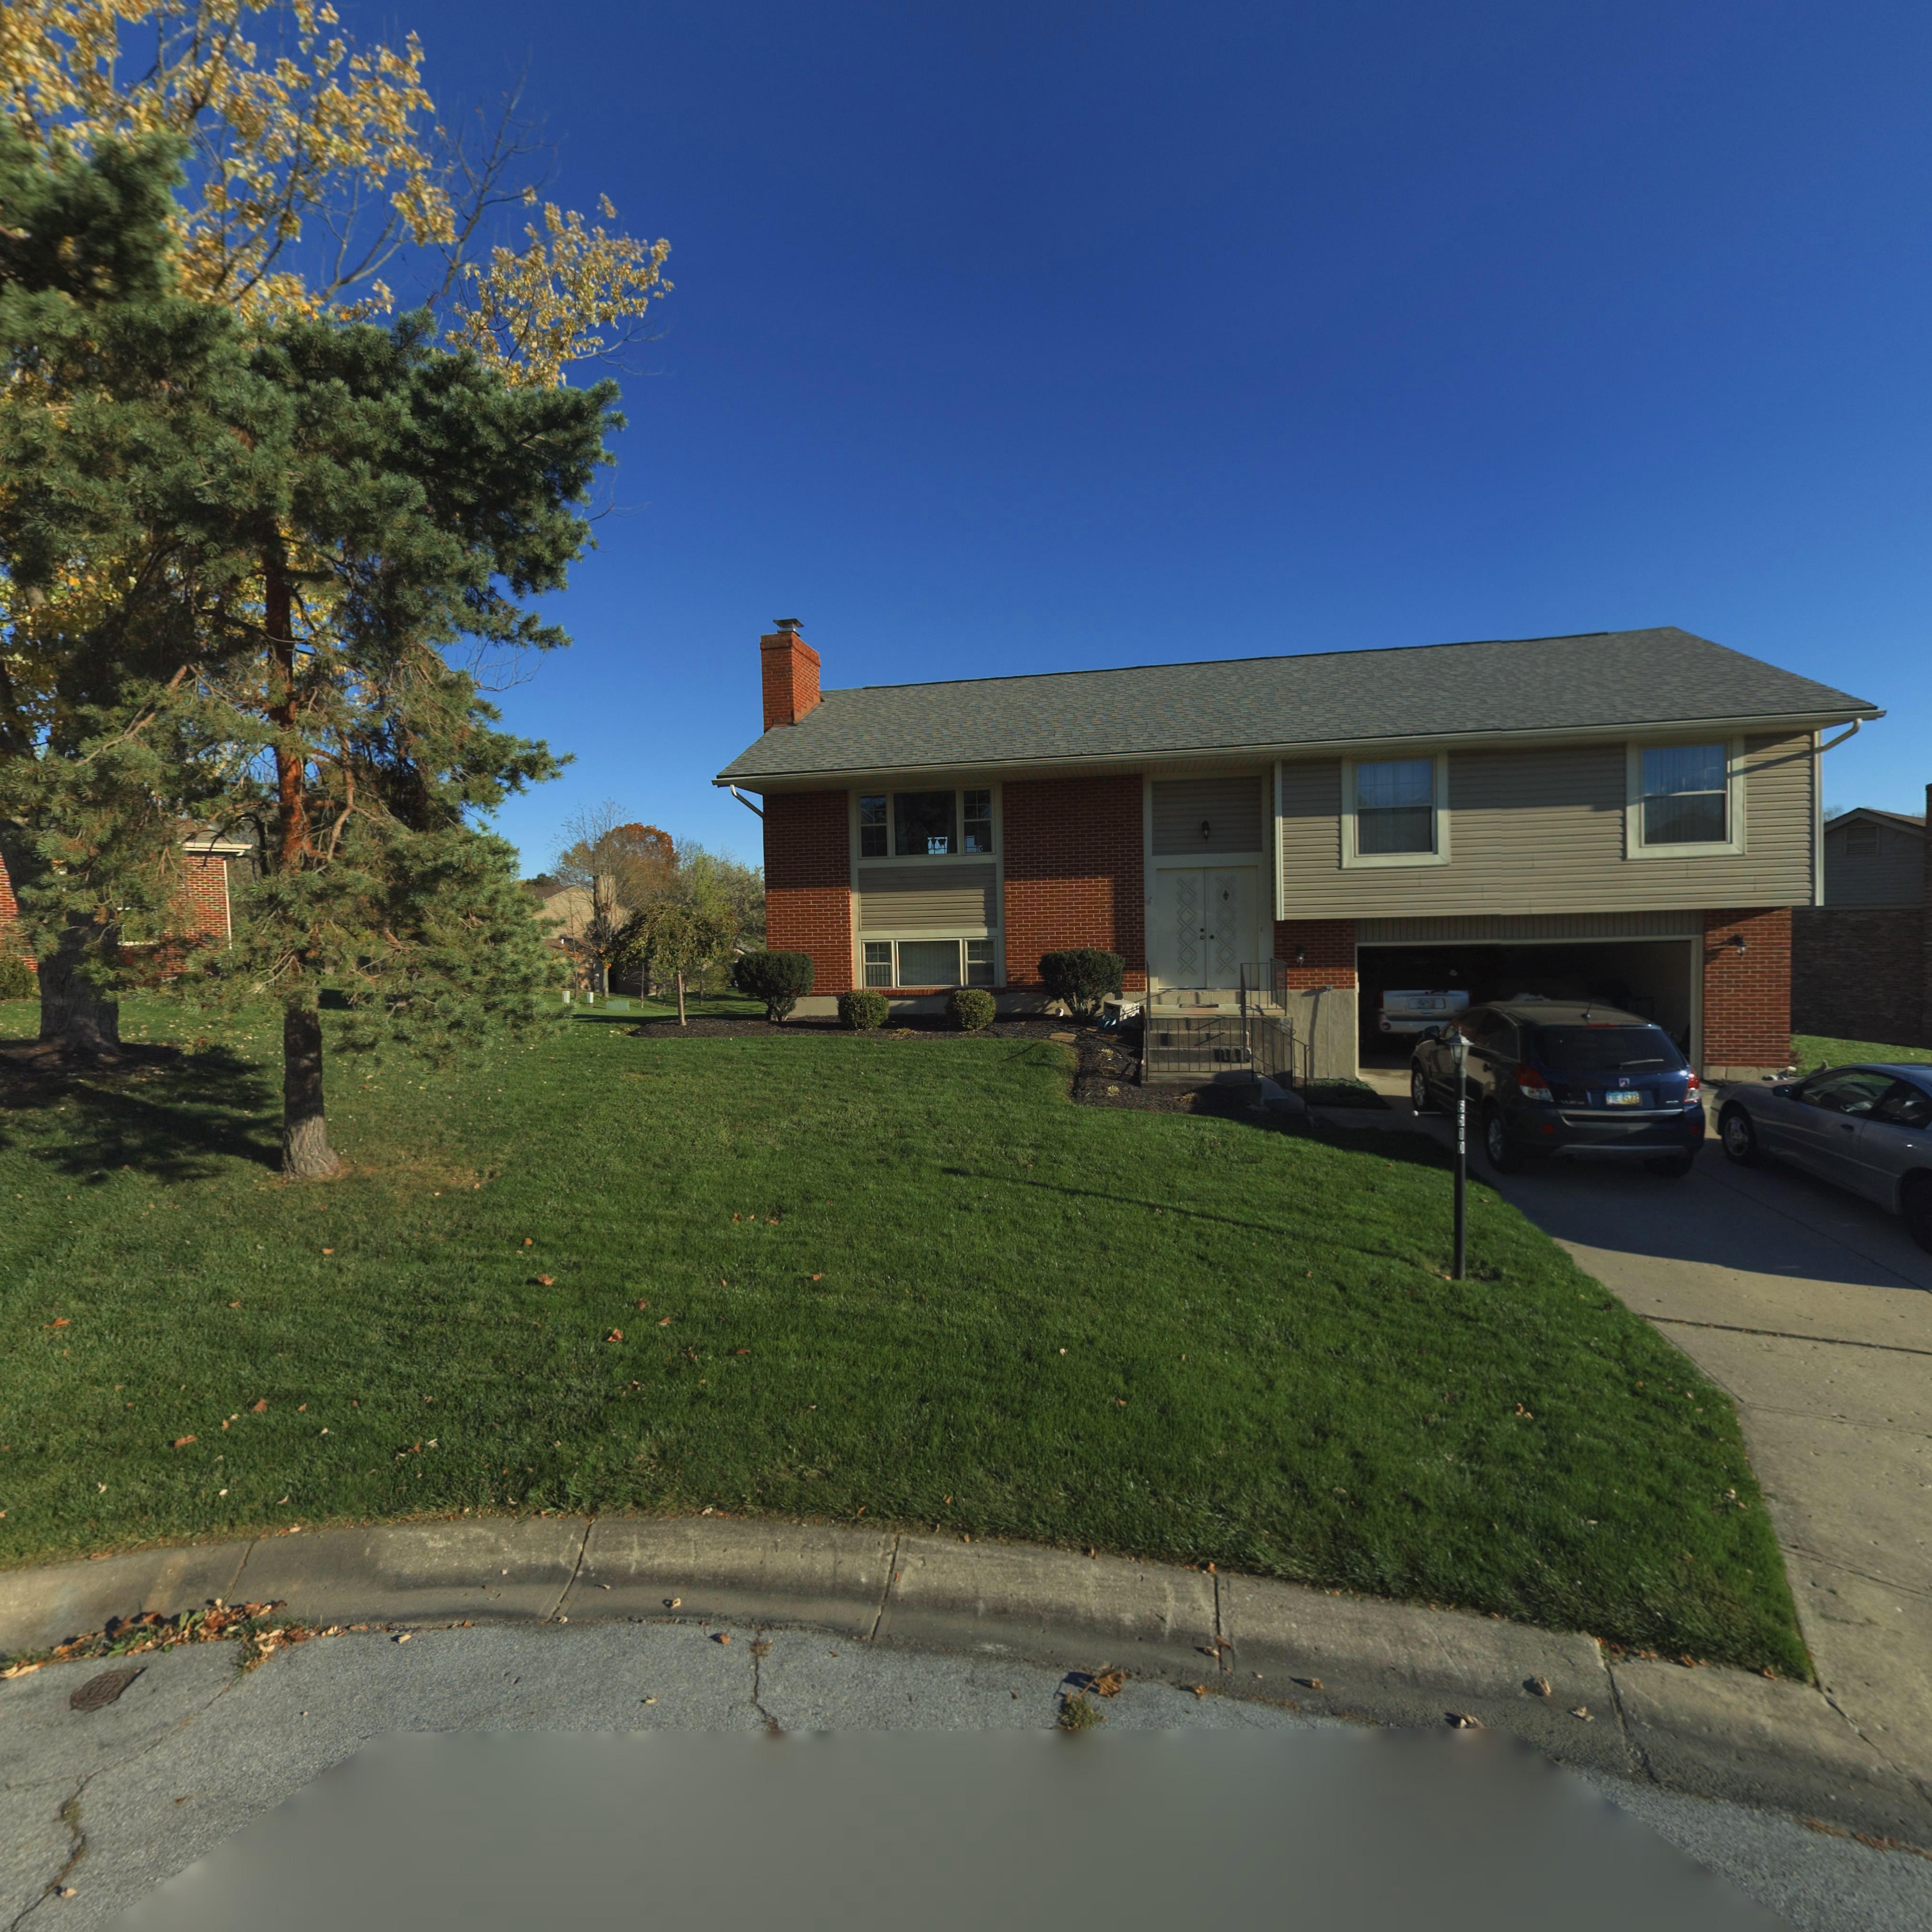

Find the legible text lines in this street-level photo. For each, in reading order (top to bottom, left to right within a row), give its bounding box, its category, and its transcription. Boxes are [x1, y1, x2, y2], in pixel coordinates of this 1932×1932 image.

[1457, 1101, 1465, 1154] StreetNumber: 6510